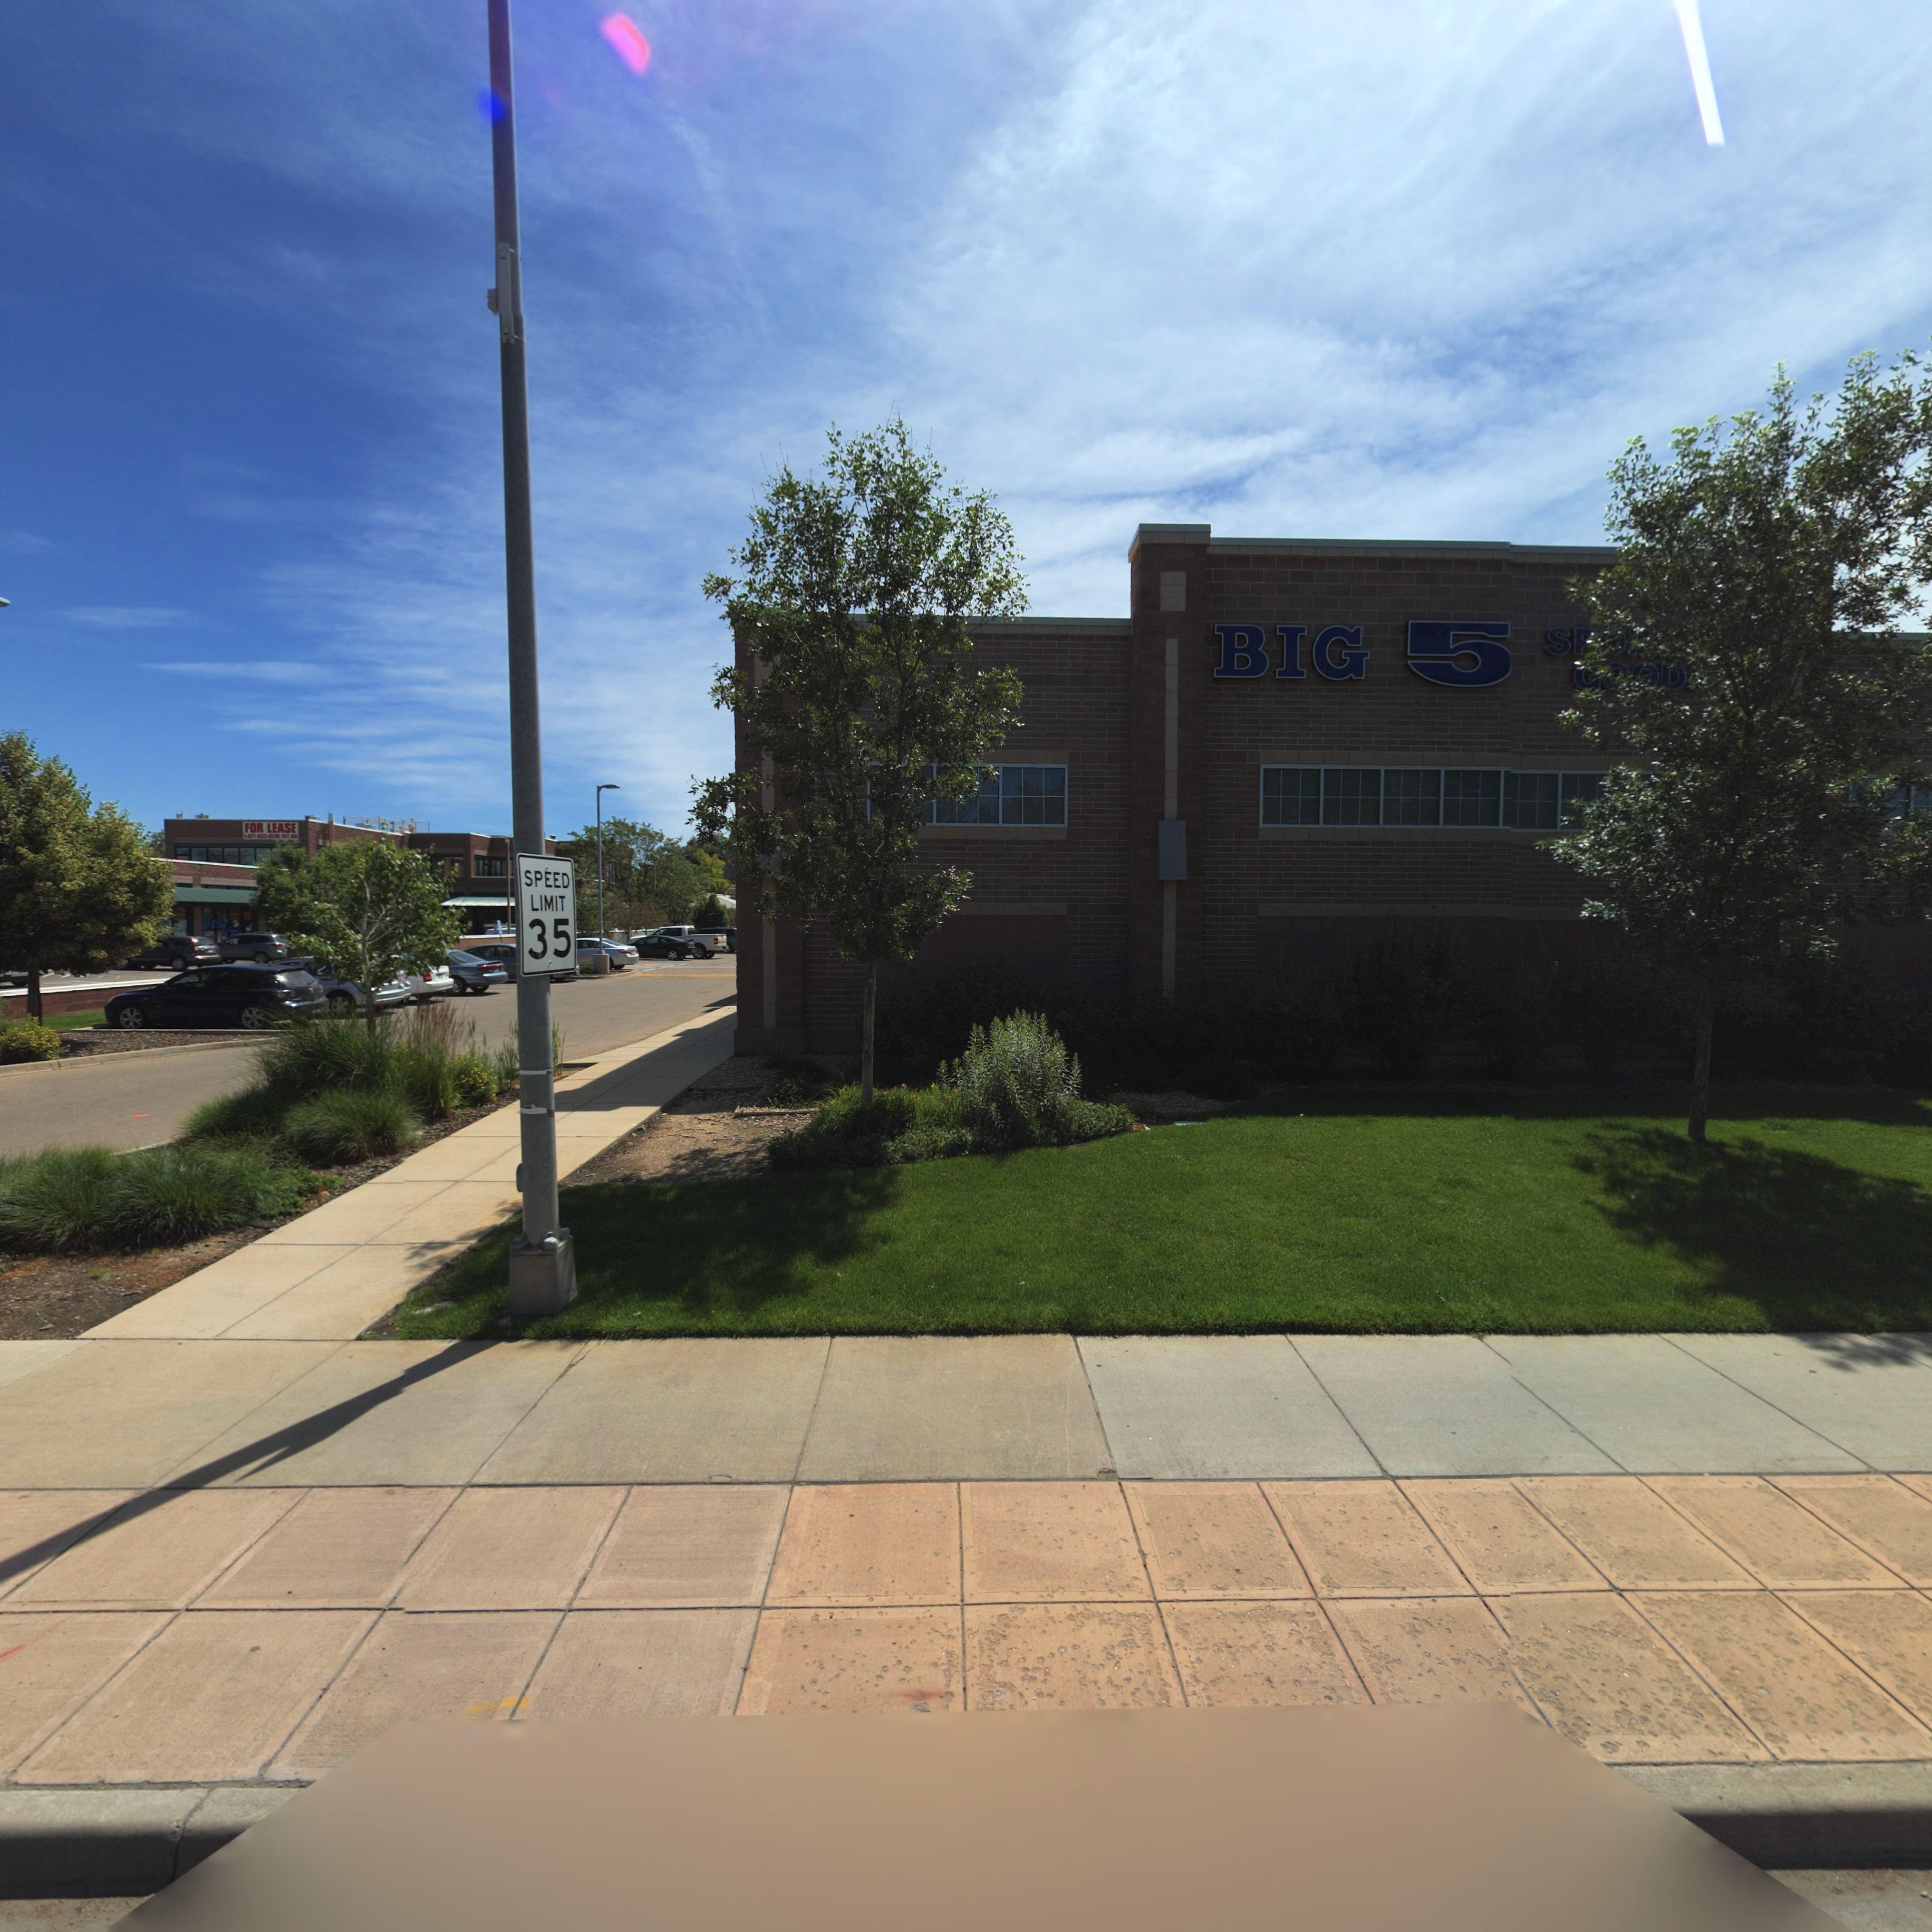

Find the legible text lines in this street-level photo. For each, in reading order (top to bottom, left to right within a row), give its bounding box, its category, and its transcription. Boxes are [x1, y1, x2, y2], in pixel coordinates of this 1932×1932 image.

[1211, 619, 1517, 691] BusinessName: BIG 5
[1543, 625, 1655, 659] BusinessName: S***
[1572, 659, 1690, 694] BusinessName: ***D